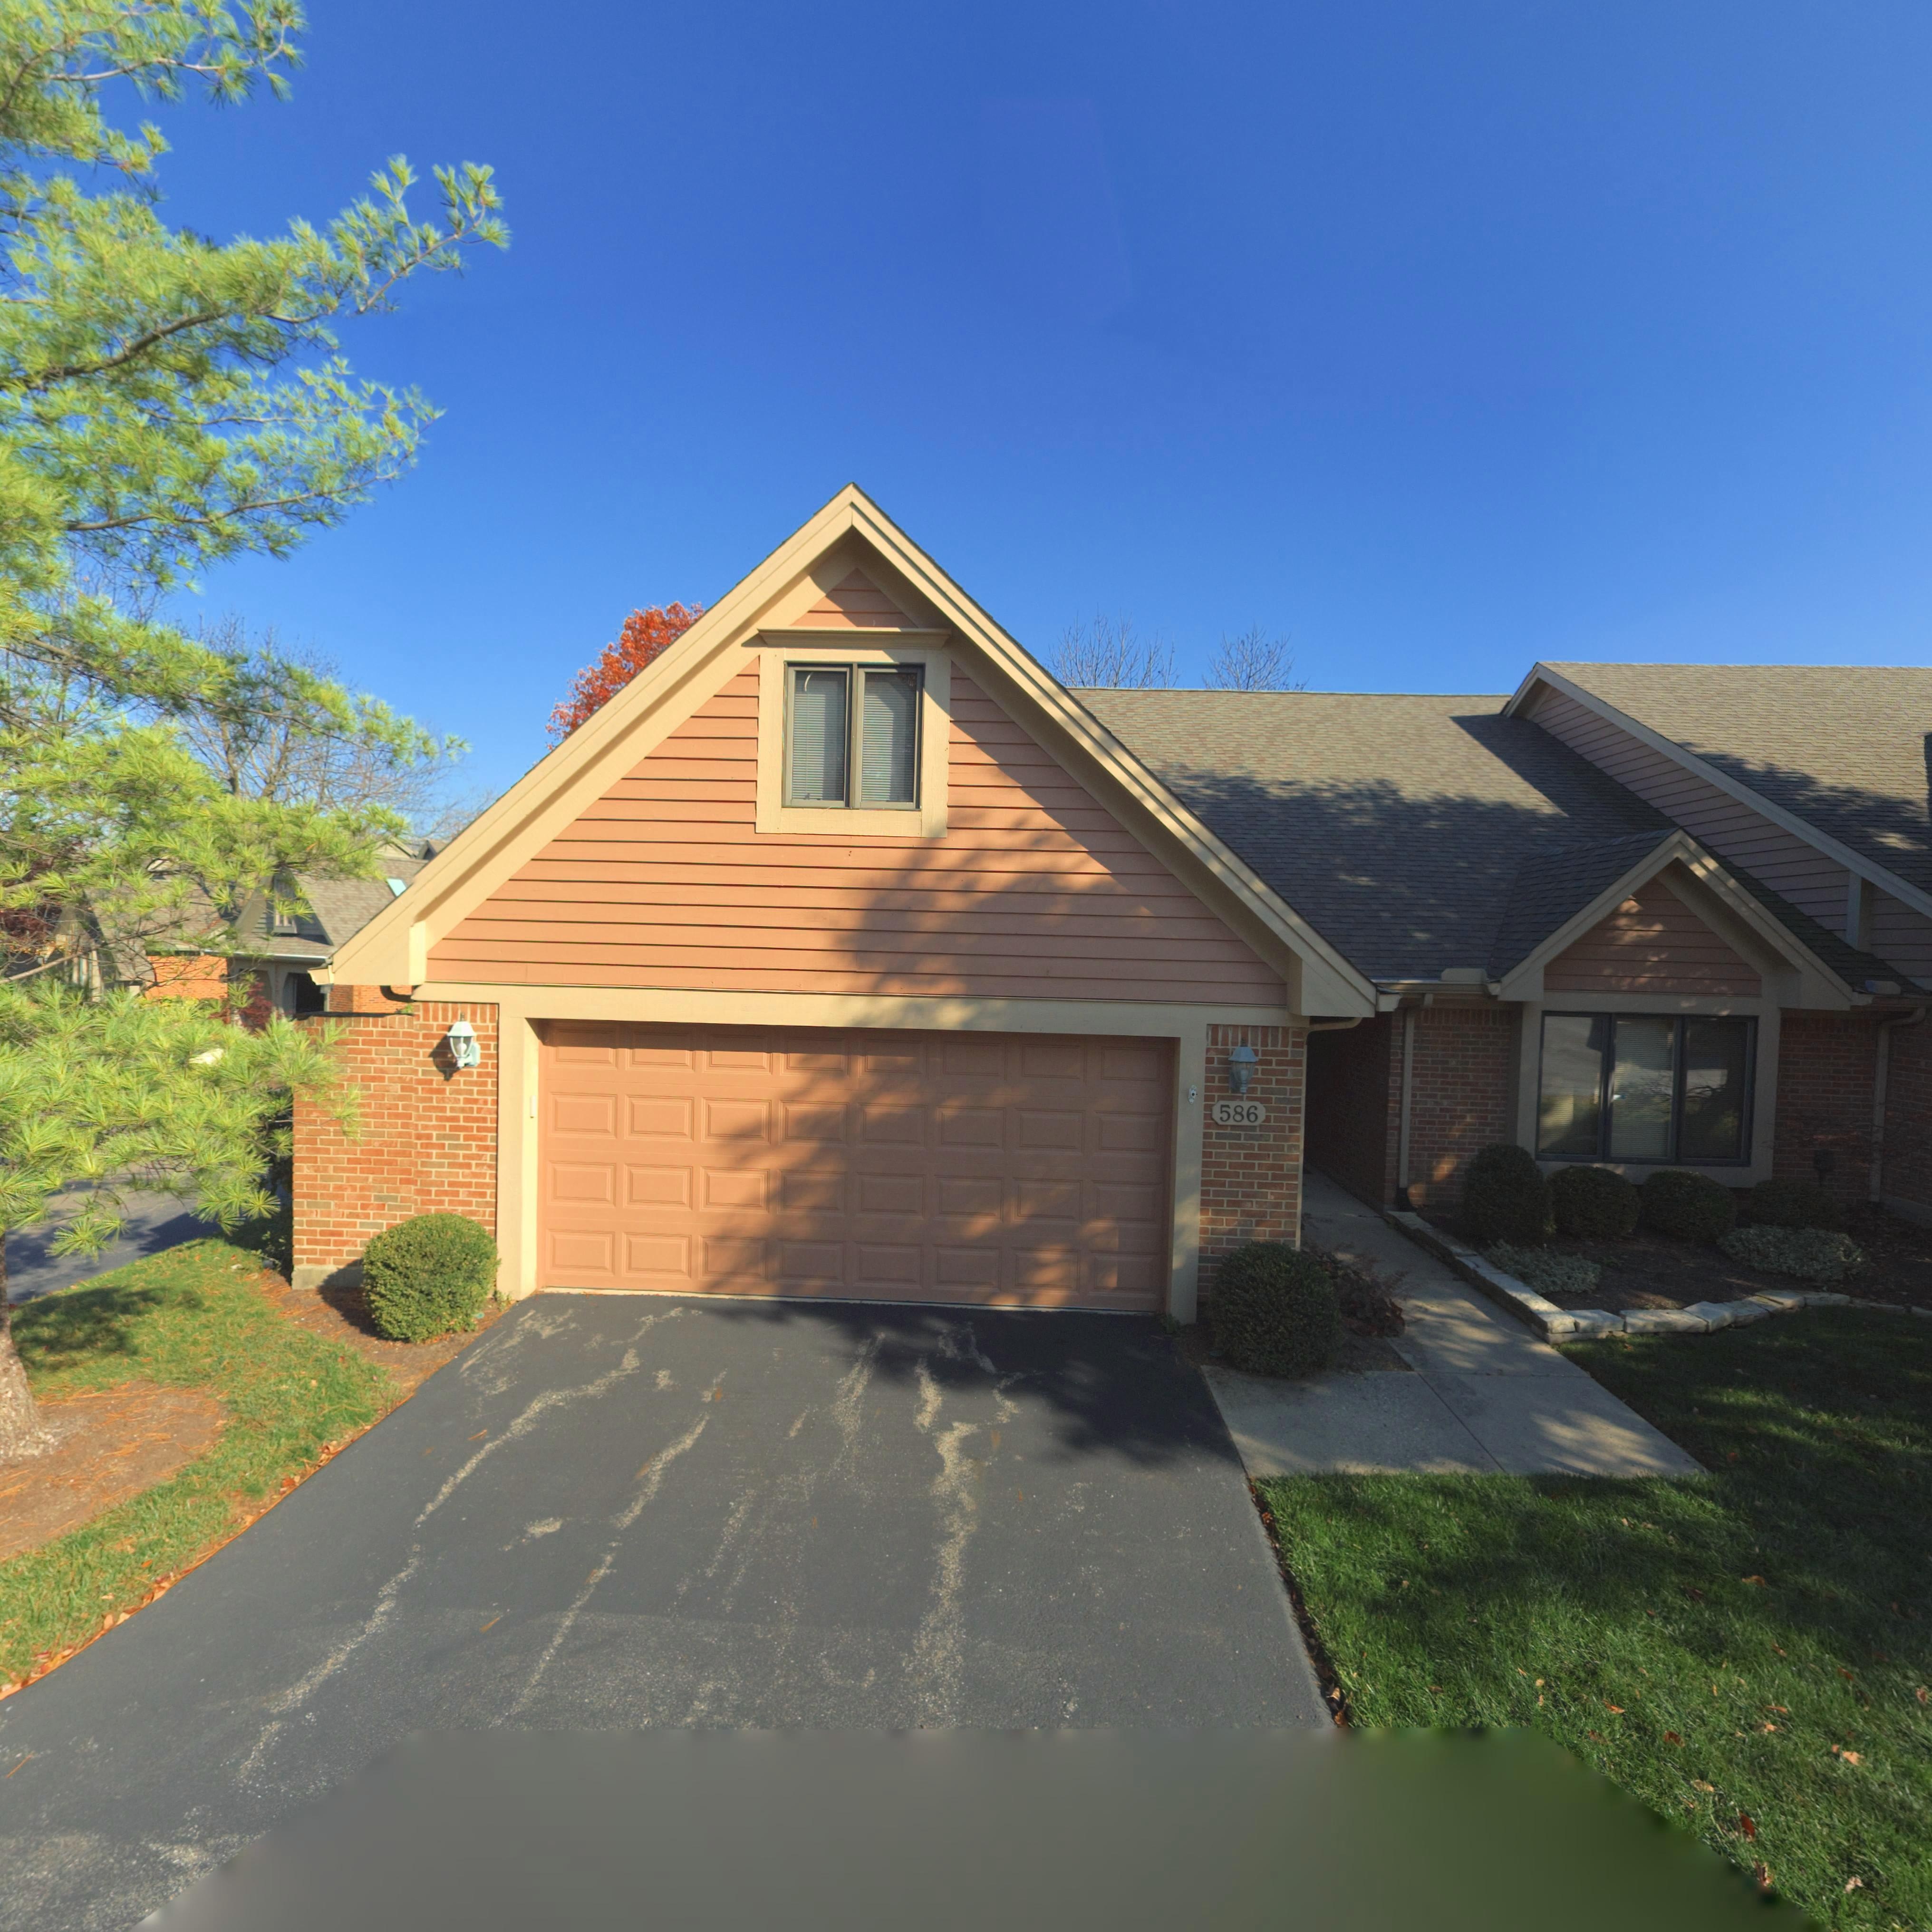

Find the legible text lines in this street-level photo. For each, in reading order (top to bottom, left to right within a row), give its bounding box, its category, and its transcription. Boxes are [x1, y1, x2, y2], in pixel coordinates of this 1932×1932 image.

[1217, 1102, 1260, 1125] StreetNumber: 586